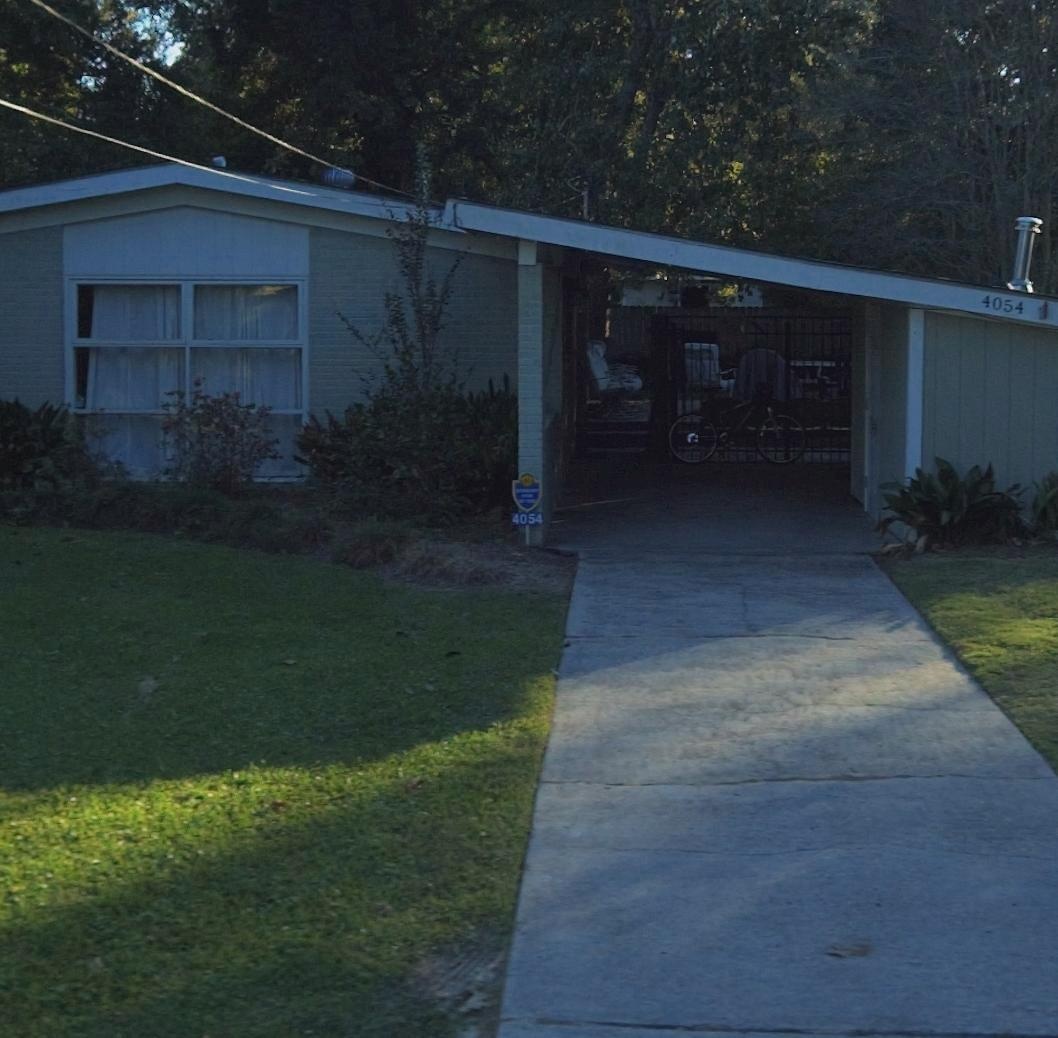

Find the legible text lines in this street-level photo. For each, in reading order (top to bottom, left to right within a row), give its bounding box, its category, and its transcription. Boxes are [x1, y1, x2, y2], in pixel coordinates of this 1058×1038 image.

[978, 290, 1027, 319] StreetNumber: 4054
[510, 511, 545, 526] StreetNumber: 4054